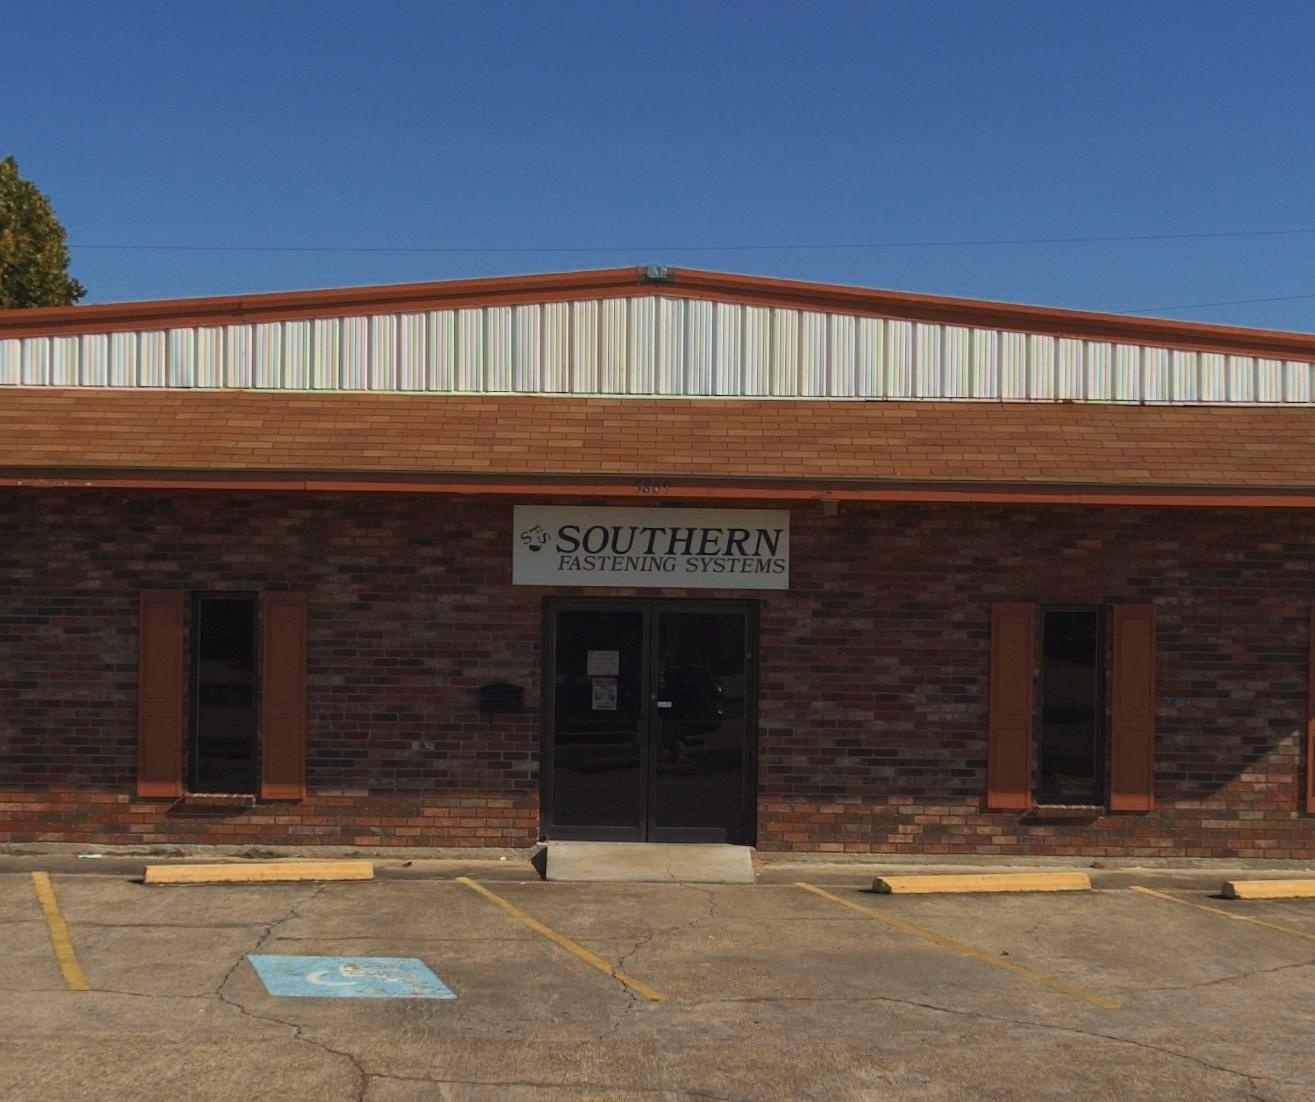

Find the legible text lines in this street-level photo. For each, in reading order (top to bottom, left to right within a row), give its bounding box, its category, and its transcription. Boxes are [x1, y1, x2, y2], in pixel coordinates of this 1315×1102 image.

[631, 477, 675, 497] StreetNumber: 5809
[515, 521, 555, 549] None: SFS
[554, 523, 788, 559] BusinessName: SOUTHERN
[554, 553, 788, 576] BusinessName: FASTENING SYSTEMS